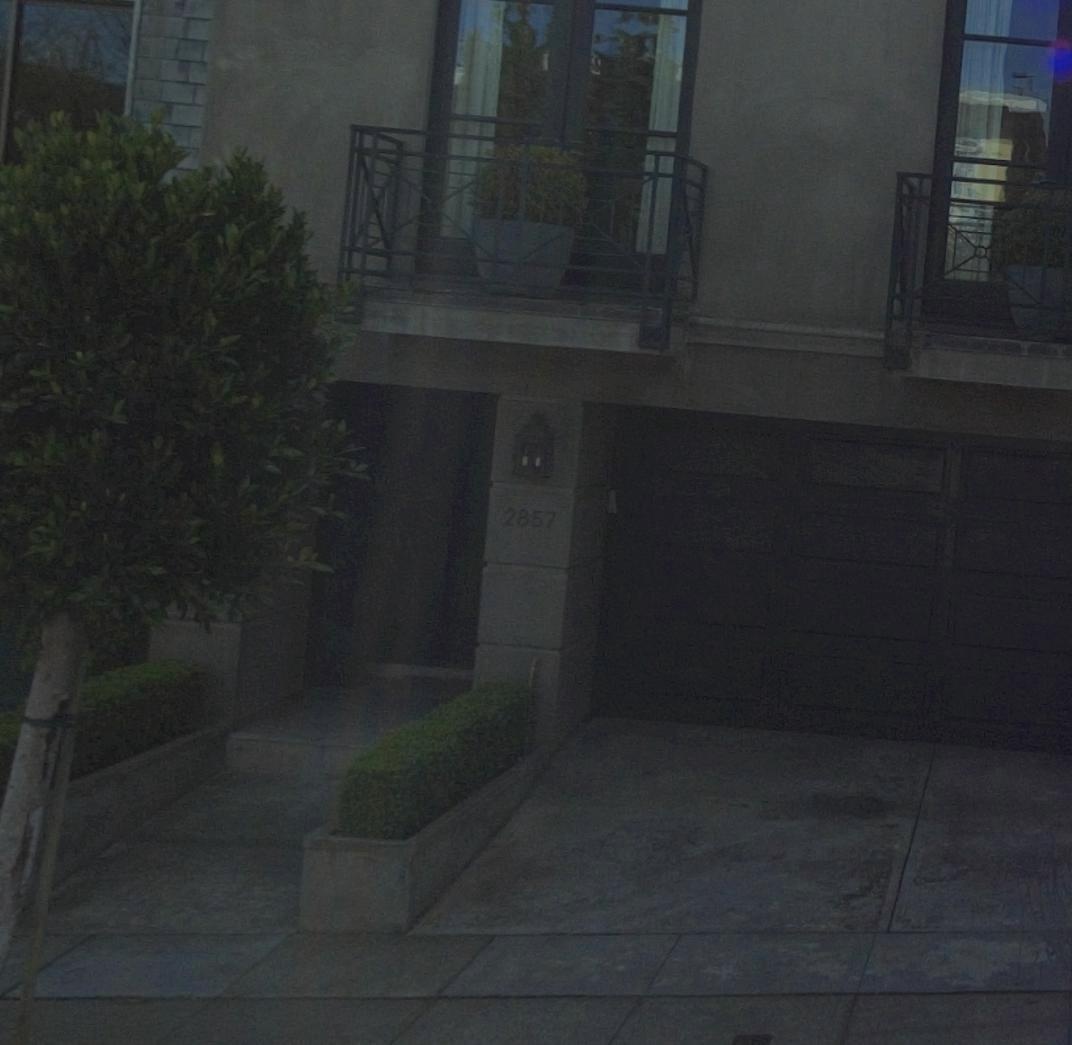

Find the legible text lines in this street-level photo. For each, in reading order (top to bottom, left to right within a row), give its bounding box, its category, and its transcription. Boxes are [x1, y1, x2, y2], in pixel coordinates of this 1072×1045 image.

[500, 506, 561, 531] StreetNumber: 2857